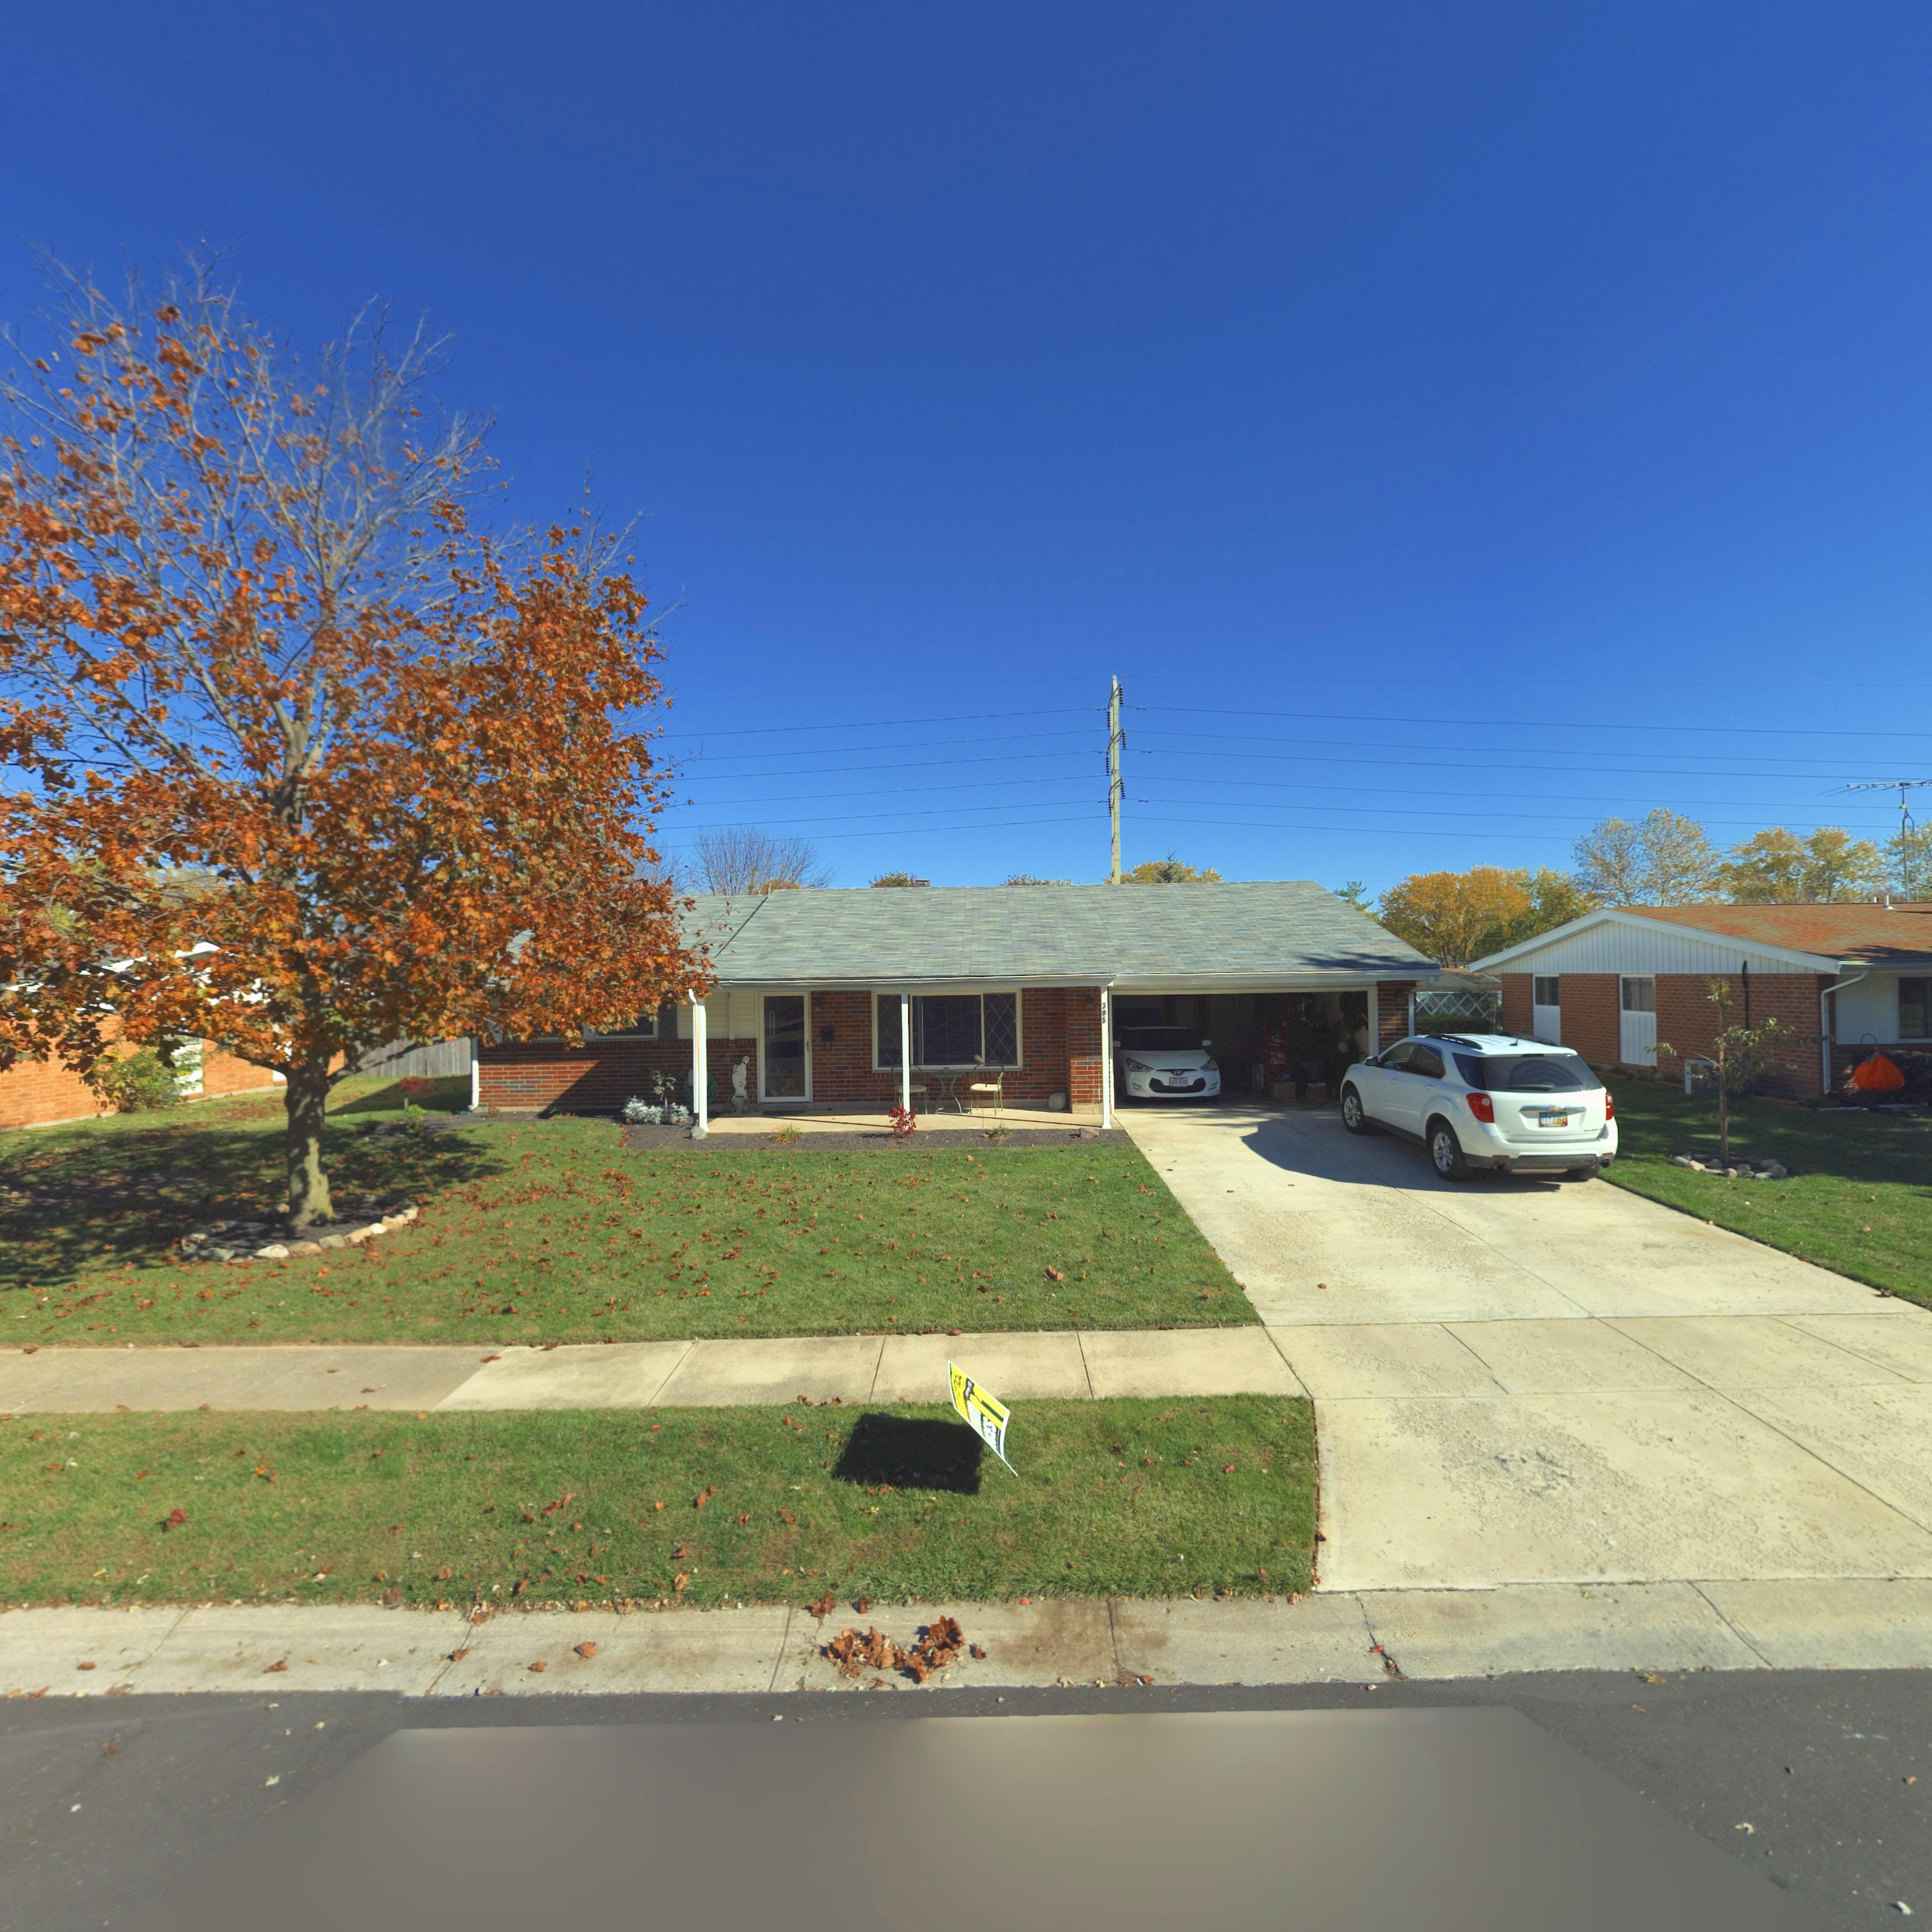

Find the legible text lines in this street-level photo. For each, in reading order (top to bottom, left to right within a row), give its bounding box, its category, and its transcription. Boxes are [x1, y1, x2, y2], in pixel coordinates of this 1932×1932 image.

[1101, 1002, 1106, 1024] StreetNumber: 305